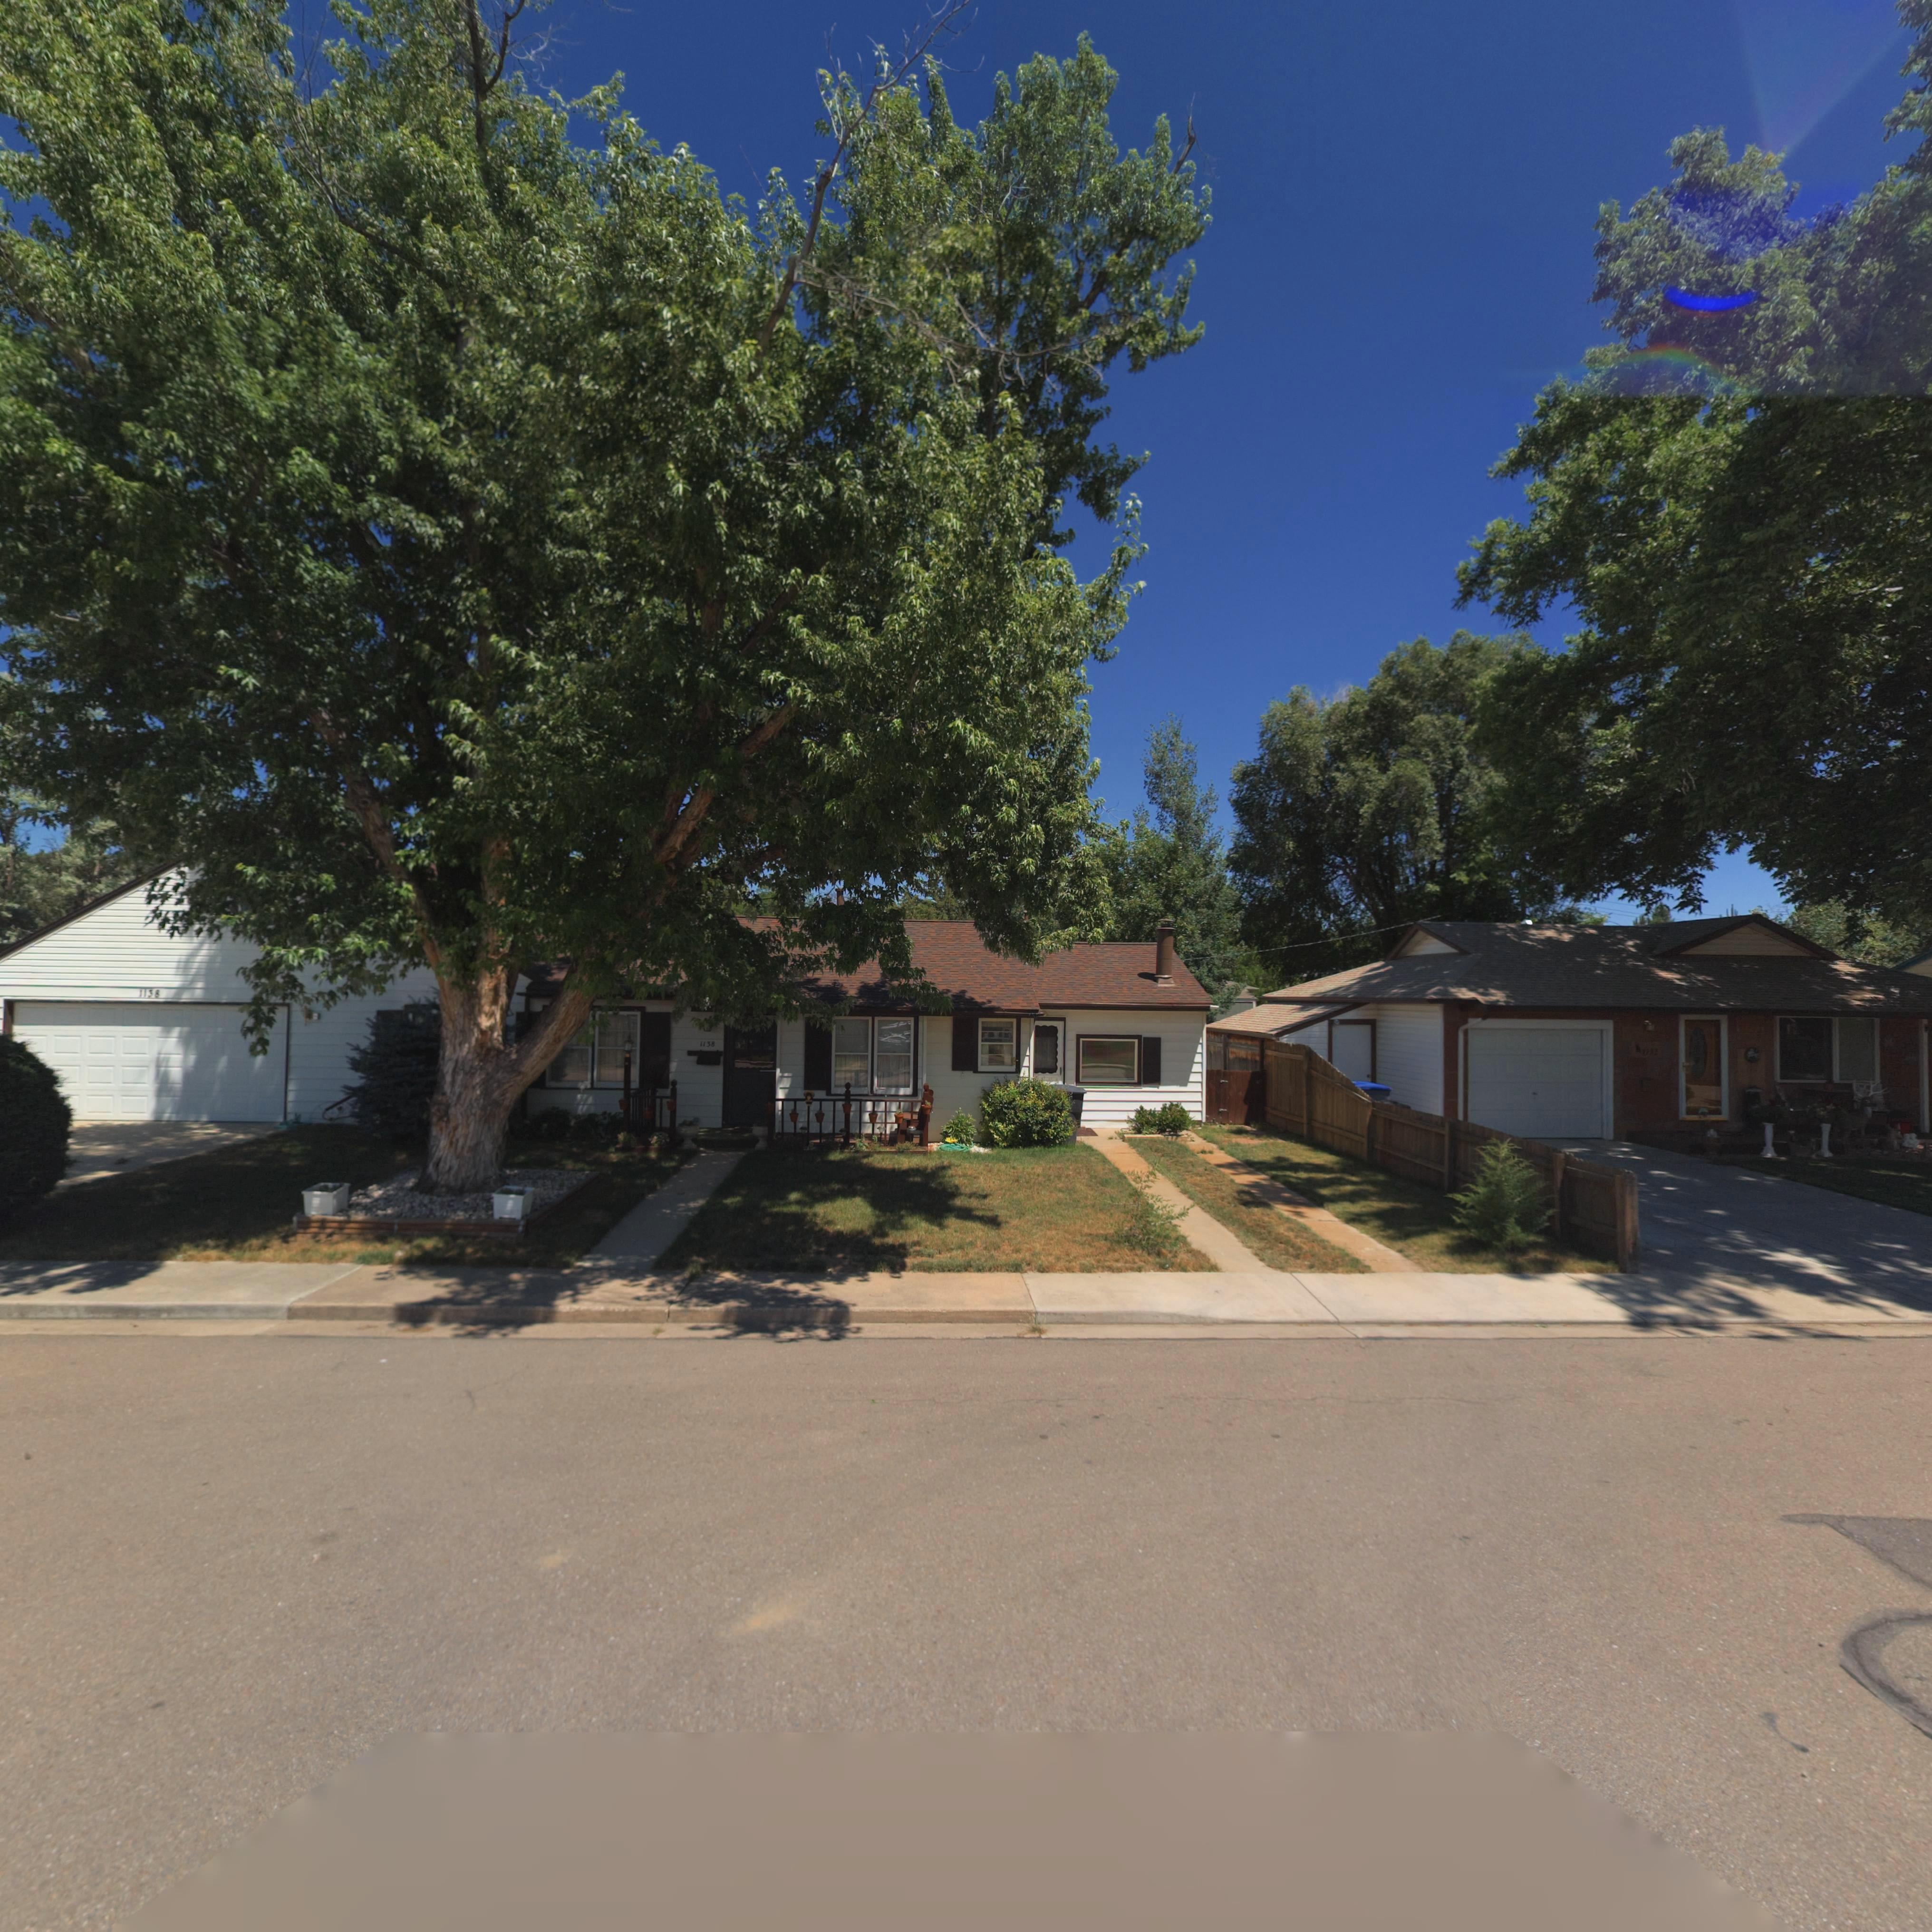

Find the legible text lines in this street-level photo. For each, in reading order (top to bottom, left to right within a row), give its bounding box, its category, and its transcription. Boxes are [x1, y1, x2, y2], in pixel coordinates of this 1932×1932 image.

[139, 989, 160, 998] StreetNumber: 1138
[700, 1041, 715, 1047] StreetNumber: 1138
[1642, 1048, 1658, 1056] StreetNumber: 1**2